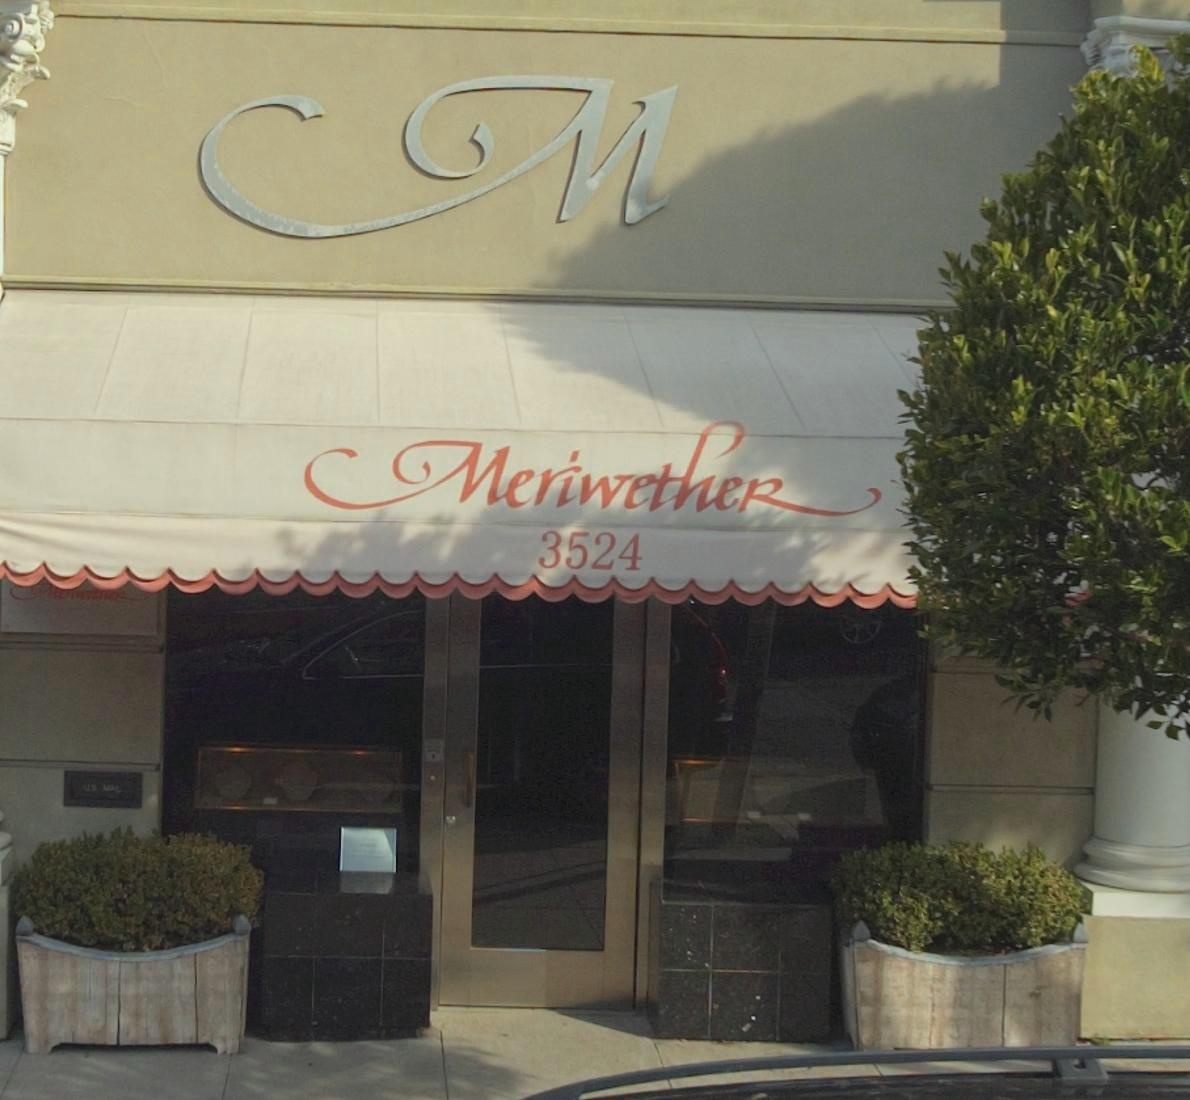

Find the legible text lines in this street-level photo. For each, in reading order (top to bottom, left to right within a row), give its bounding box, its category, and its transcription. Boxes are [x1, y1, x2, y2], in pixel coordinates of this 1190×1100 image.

[397, 55, 694, 239] None: M
[386, 413, 791, 524] BusinessName: Meriwether
[536, 528, 645, 573] StreetNumber: 3524